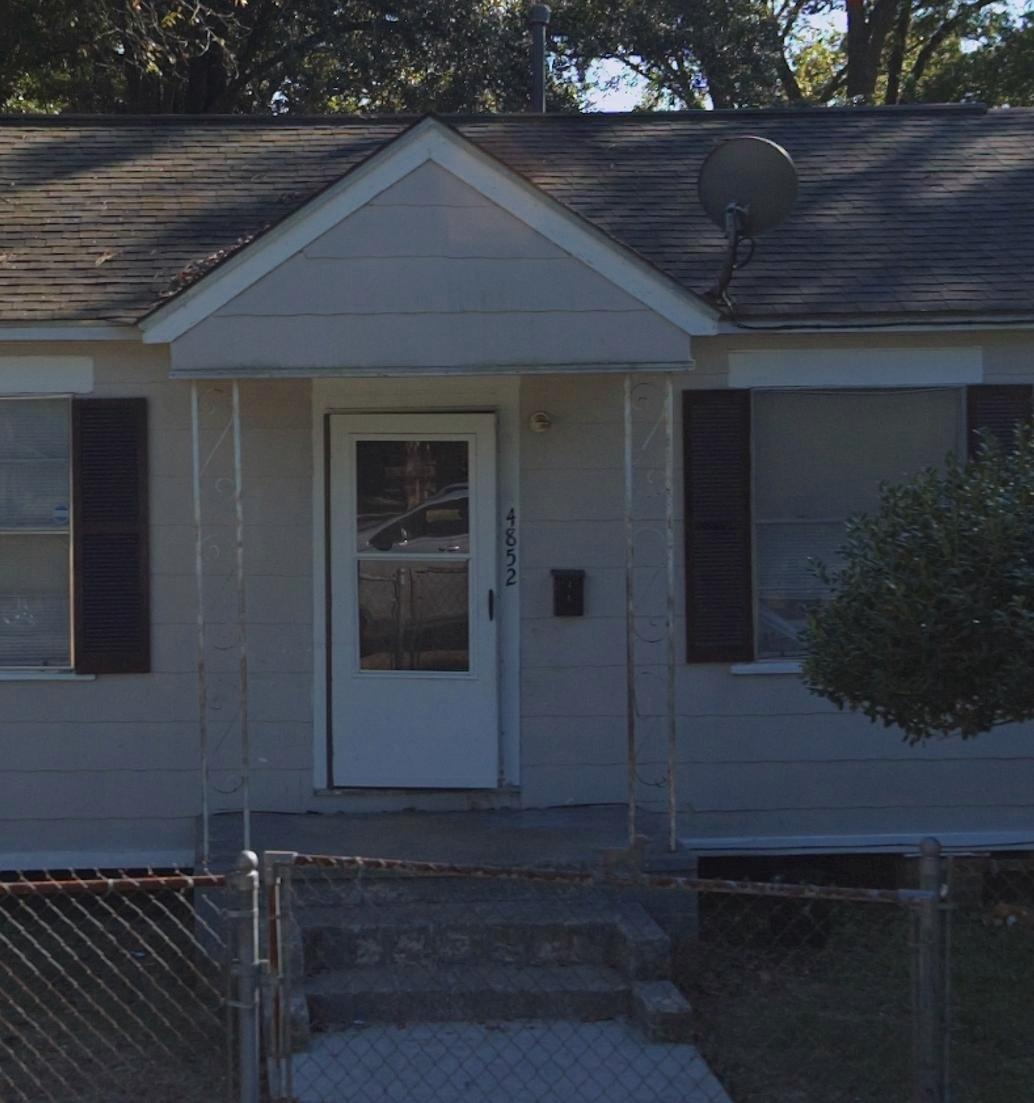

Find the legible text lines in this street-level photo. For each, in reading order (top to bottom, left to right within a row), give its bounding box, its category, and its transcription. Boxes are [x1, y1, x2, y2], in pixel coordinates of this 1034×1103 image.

[503, 507, 519, 588] StreetNumber: 4852